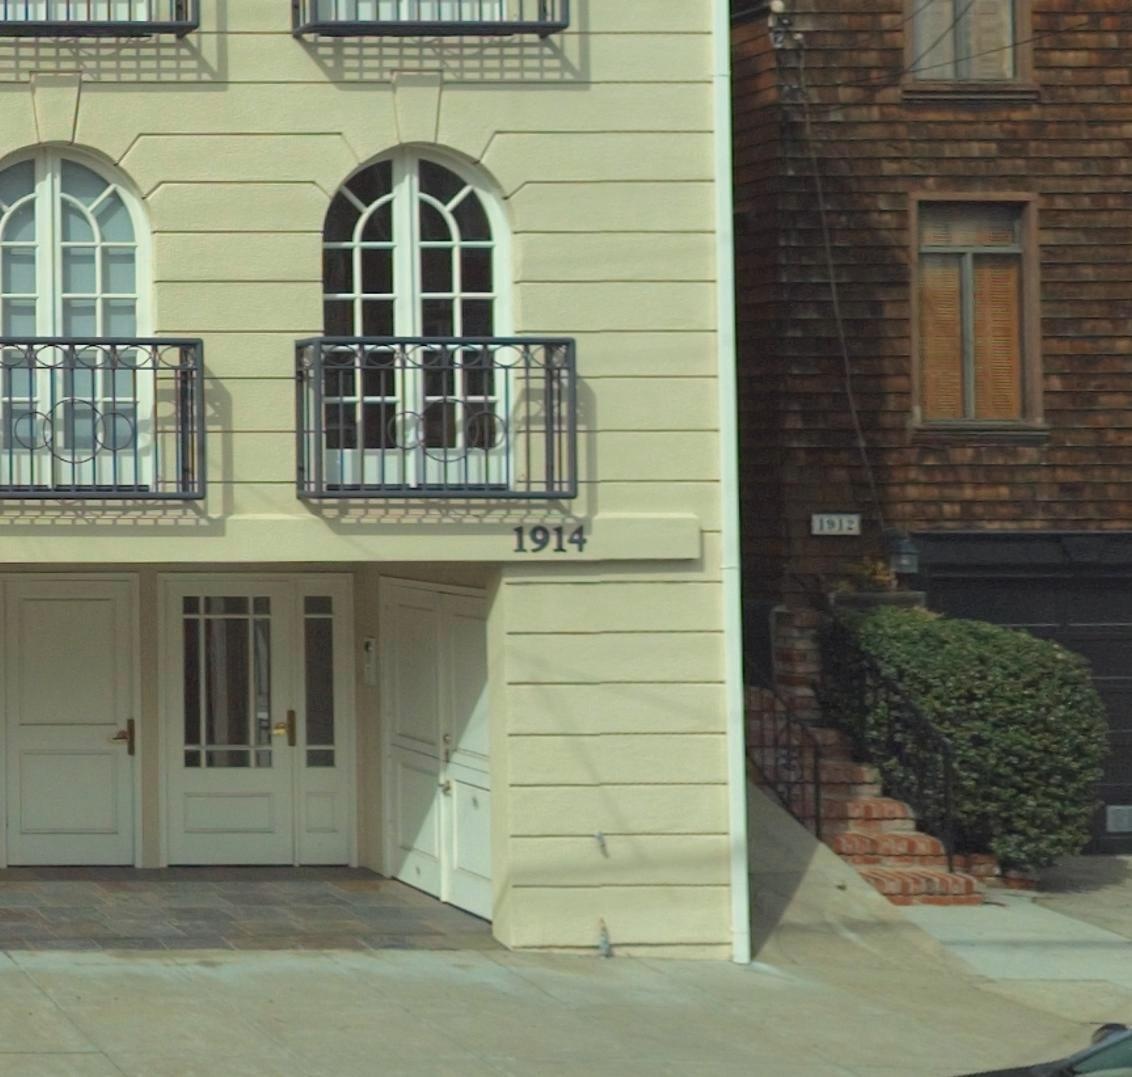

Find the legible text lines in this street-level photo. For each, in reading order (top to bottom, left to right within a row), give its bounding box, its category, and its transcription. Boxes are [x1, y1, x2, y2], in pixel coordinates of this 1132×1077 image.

[510, 522, 589, 556] StreetNumber: 1914
[816, 516, 857, 533] StreetNumber: 1912